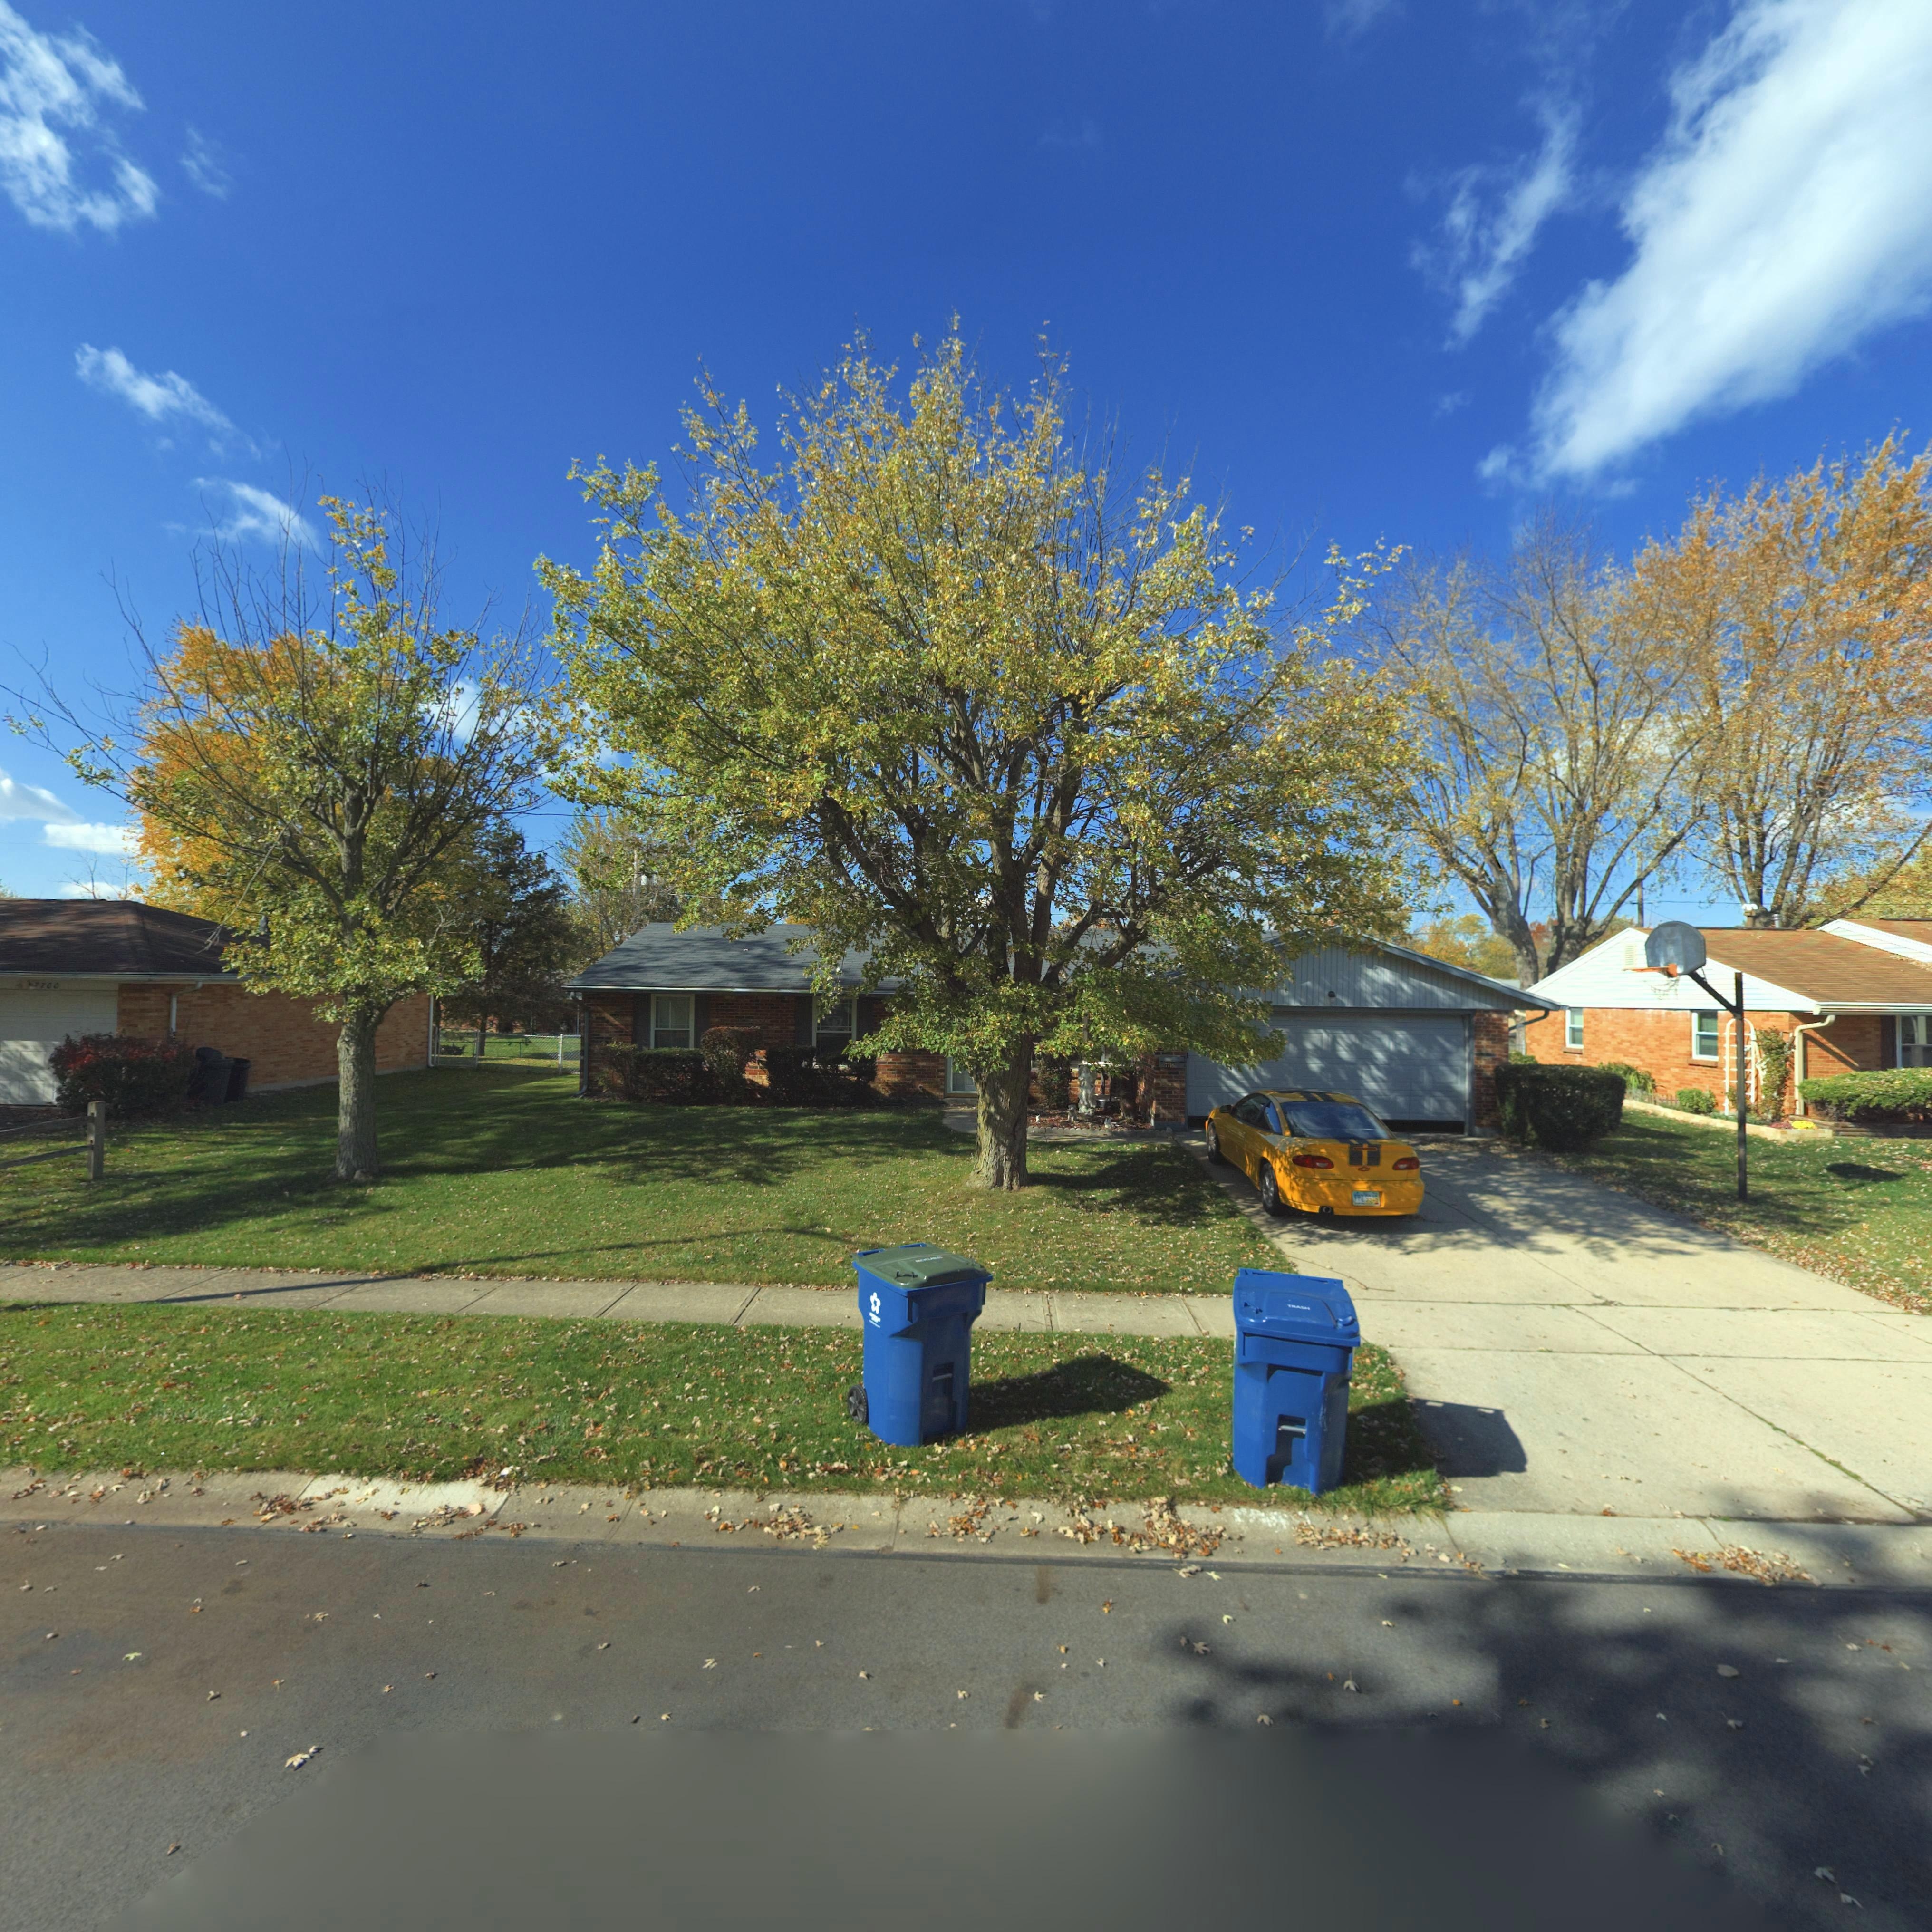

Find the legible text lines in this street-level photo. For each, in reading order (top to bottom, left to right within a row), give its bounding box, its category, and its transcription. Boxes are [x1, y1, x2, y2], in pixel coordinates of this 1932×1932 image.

[39, 981, 61, 990] StreetNumber: 700